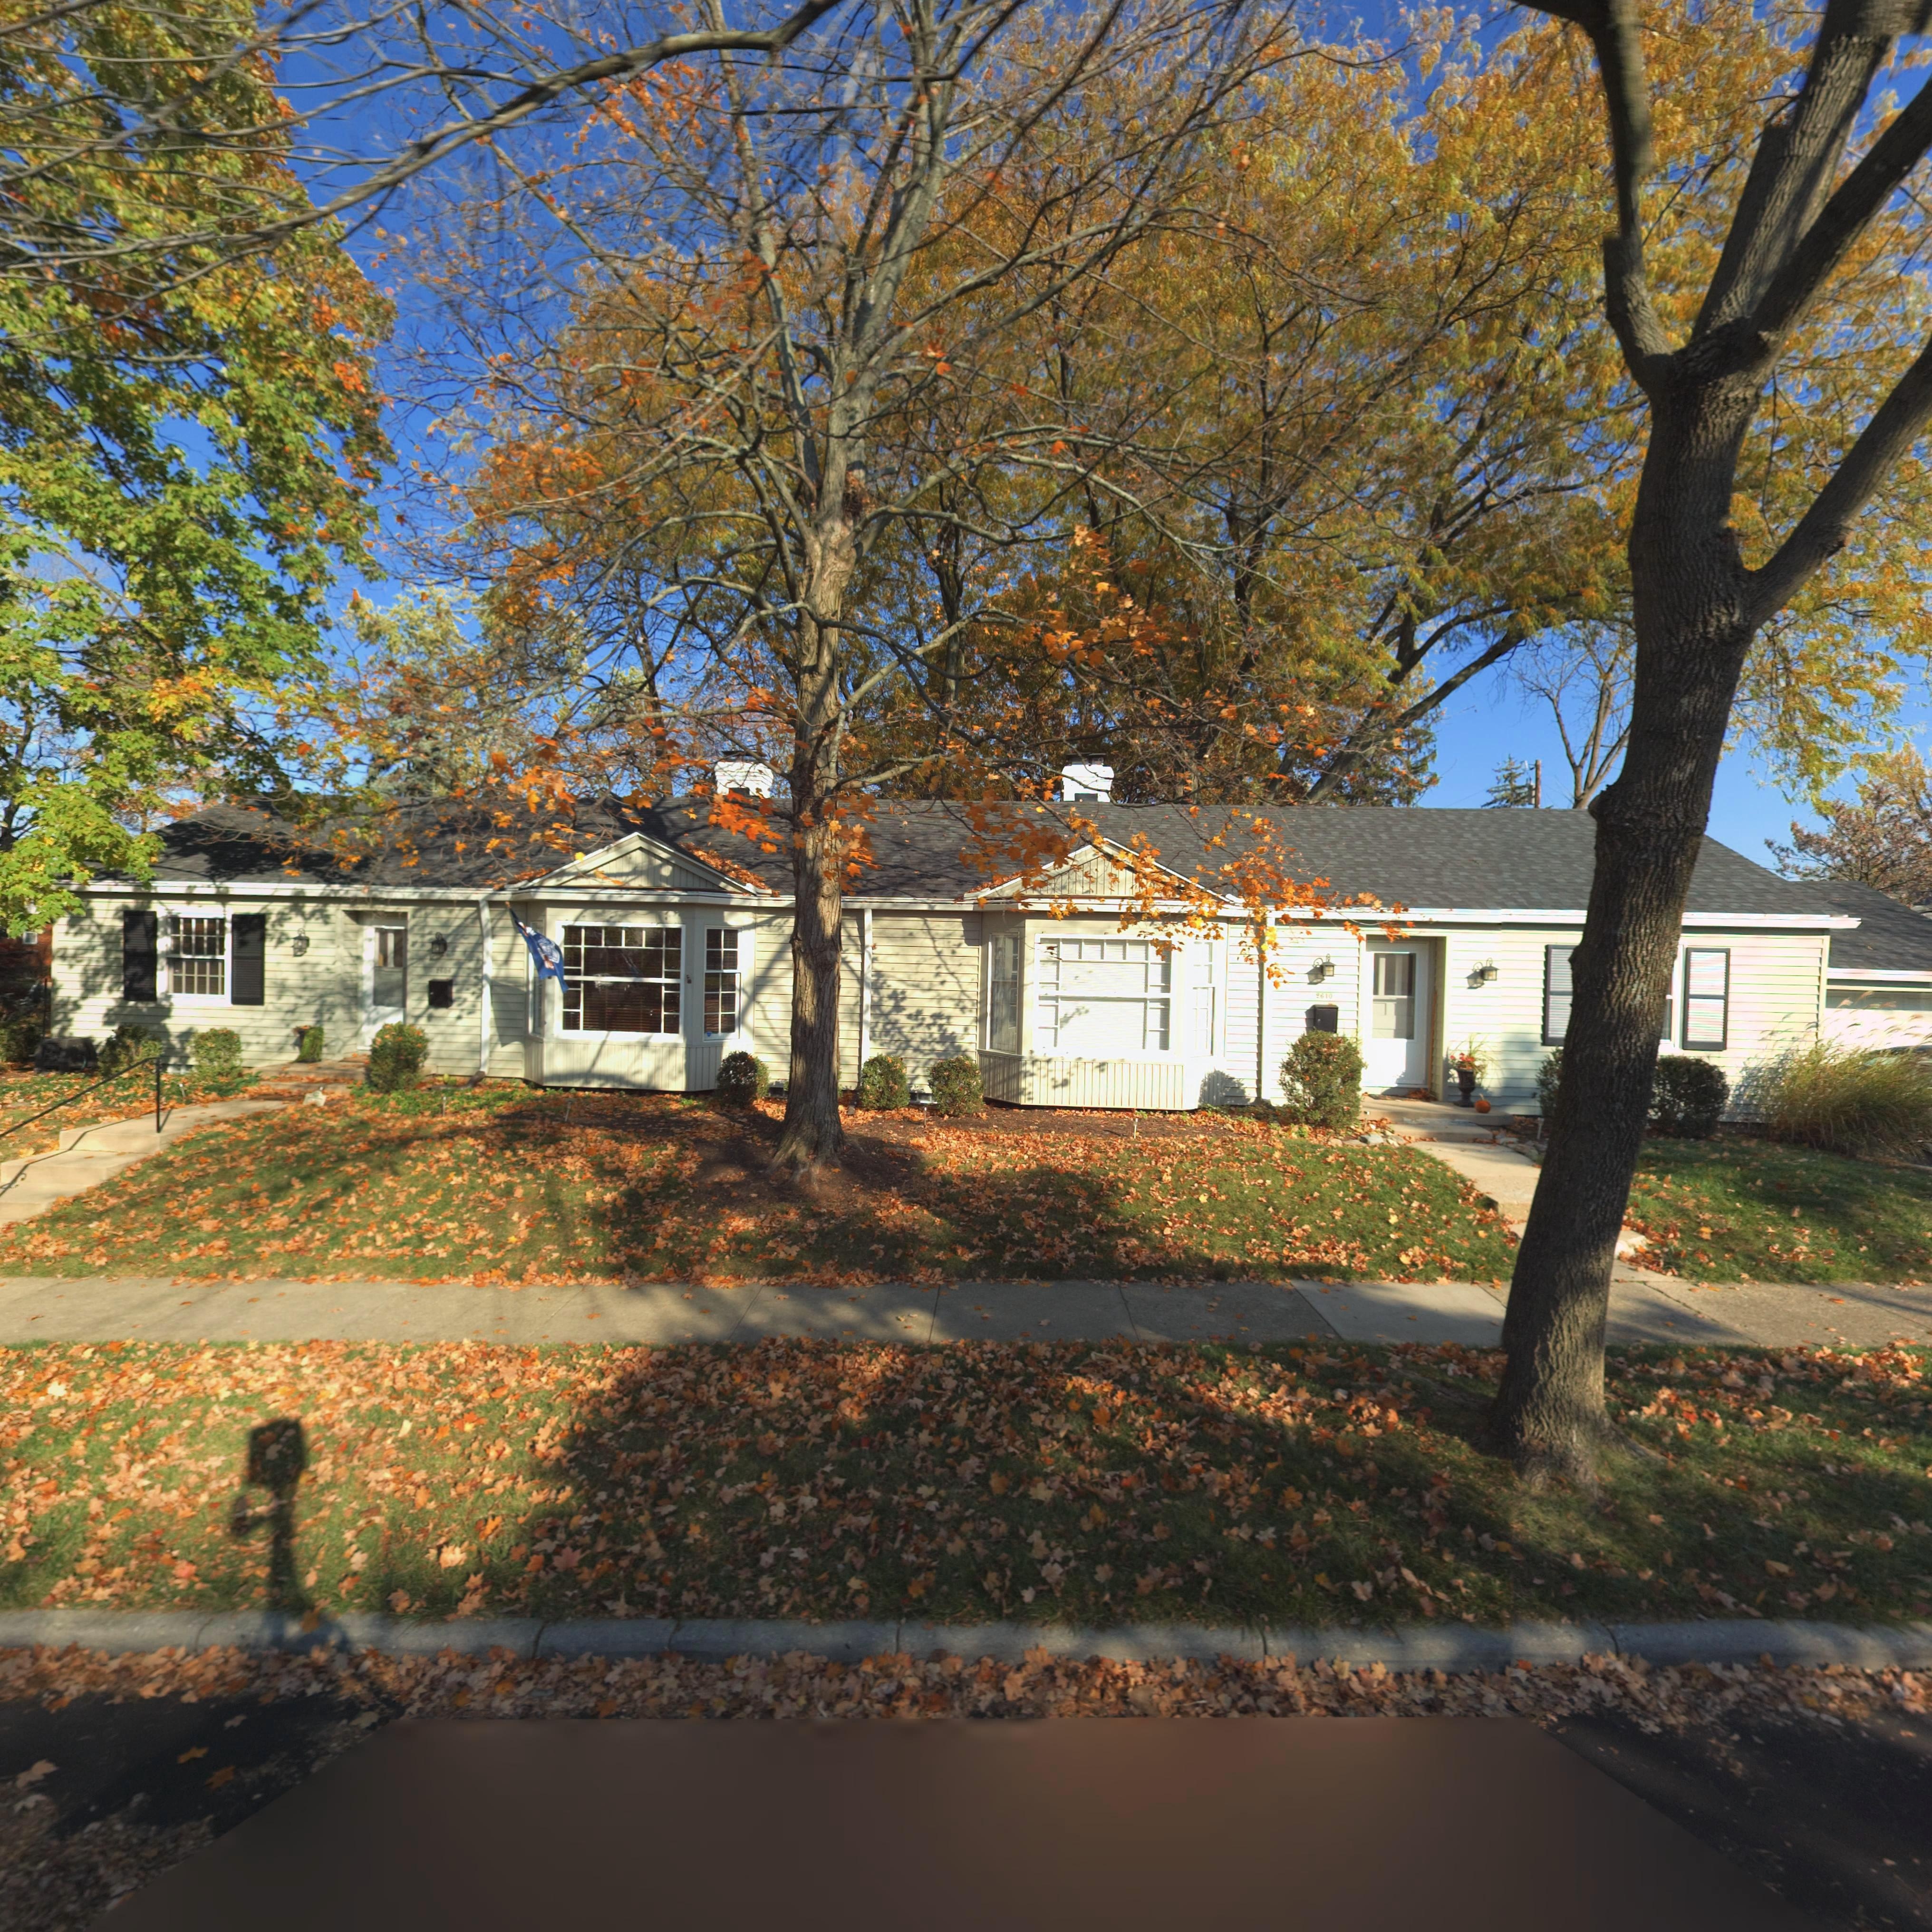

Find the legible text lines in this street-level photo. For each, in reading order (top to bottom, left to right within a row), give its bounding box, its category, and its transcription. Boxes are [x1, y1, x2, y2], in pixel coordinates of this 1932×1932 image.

[1314, 991, 1334, 1001] StreetNumber: 2610